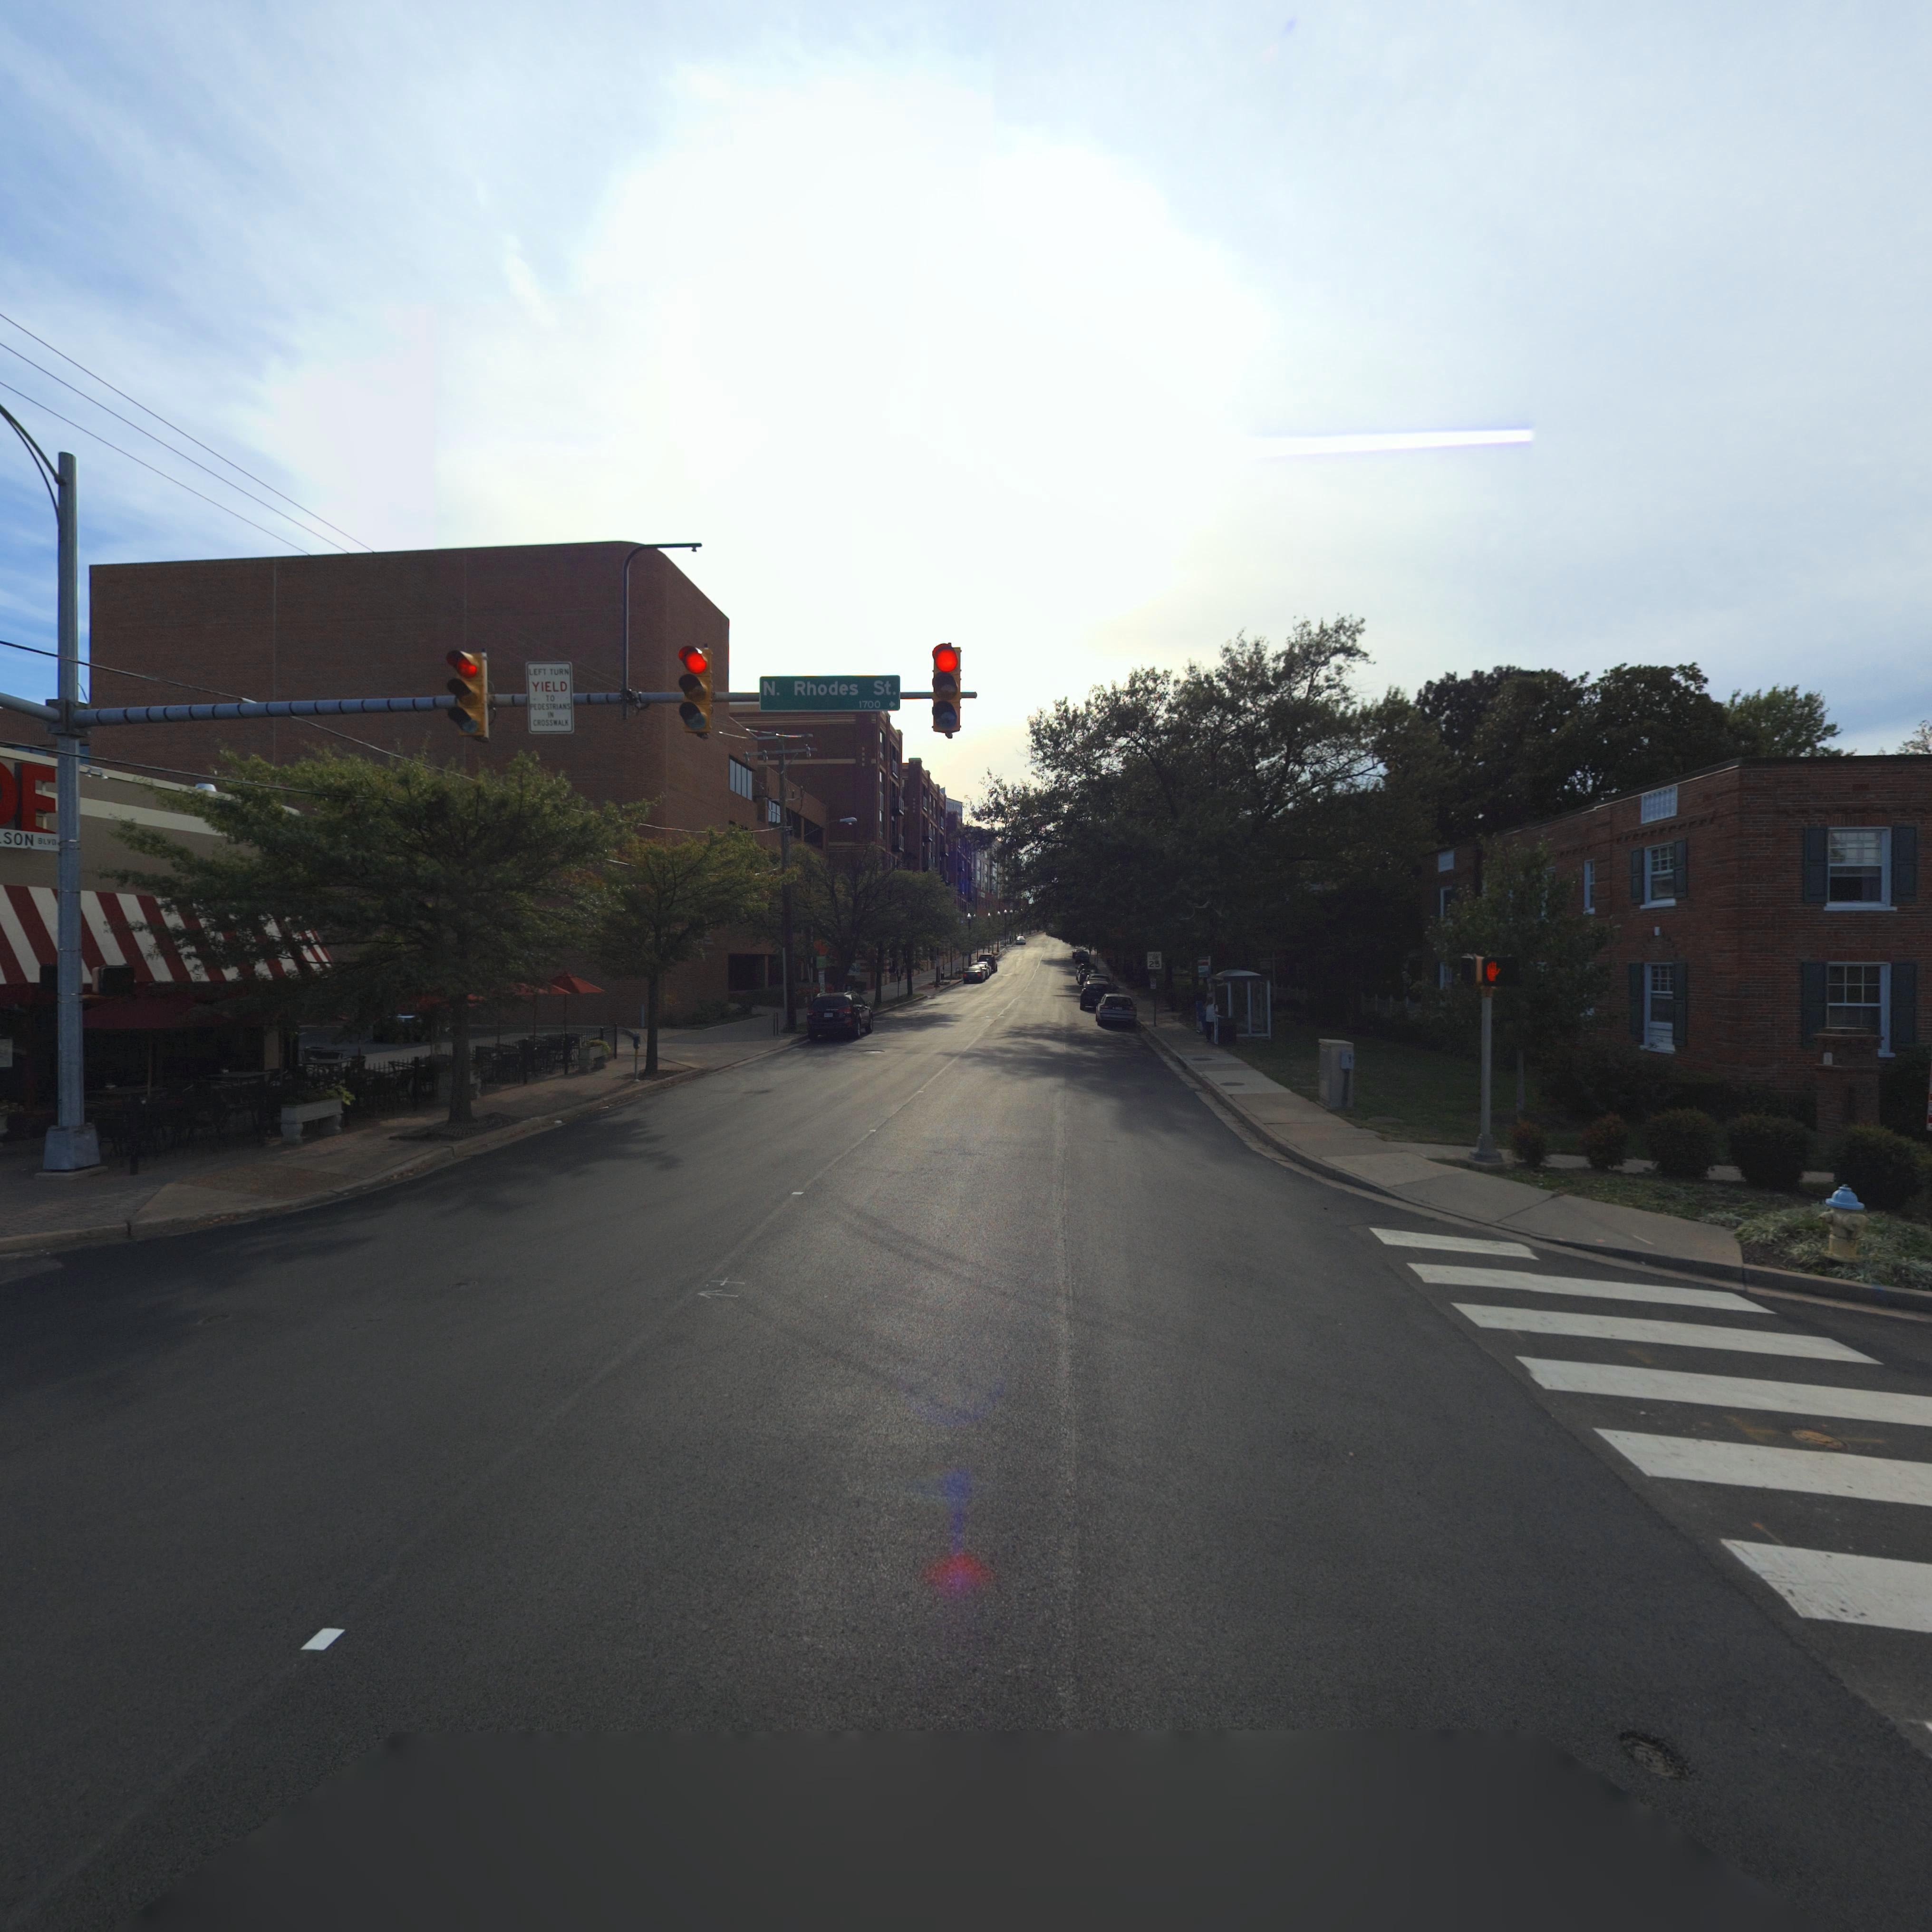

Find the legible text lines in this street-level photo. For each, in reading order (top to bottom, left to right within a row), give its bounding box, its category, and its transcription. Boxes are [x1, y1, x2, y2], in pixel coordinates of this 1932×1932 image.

[529, 668, 570, 676] None: LEFT TURN
[531, 681, 568, 692] None: YIELD
[763, 680, 897, 696] StreetName: N. Rhodes St.
[545, 694, 555, 703] None: TO
[530, 703, 571, 710] None: PEDESTRIANS
[858, 700, 896, 709] StreetNumberRange: 1700->
[547, 711, 554, 718] None: IN
[532, 719, 569, 726] None: CROSSWALK
[19, 761, 57, 835] BusinessName: E
[3, 831, 57, 847] StreetName: SON BLVD
[1148, 960, 1160, 968] None: 2*